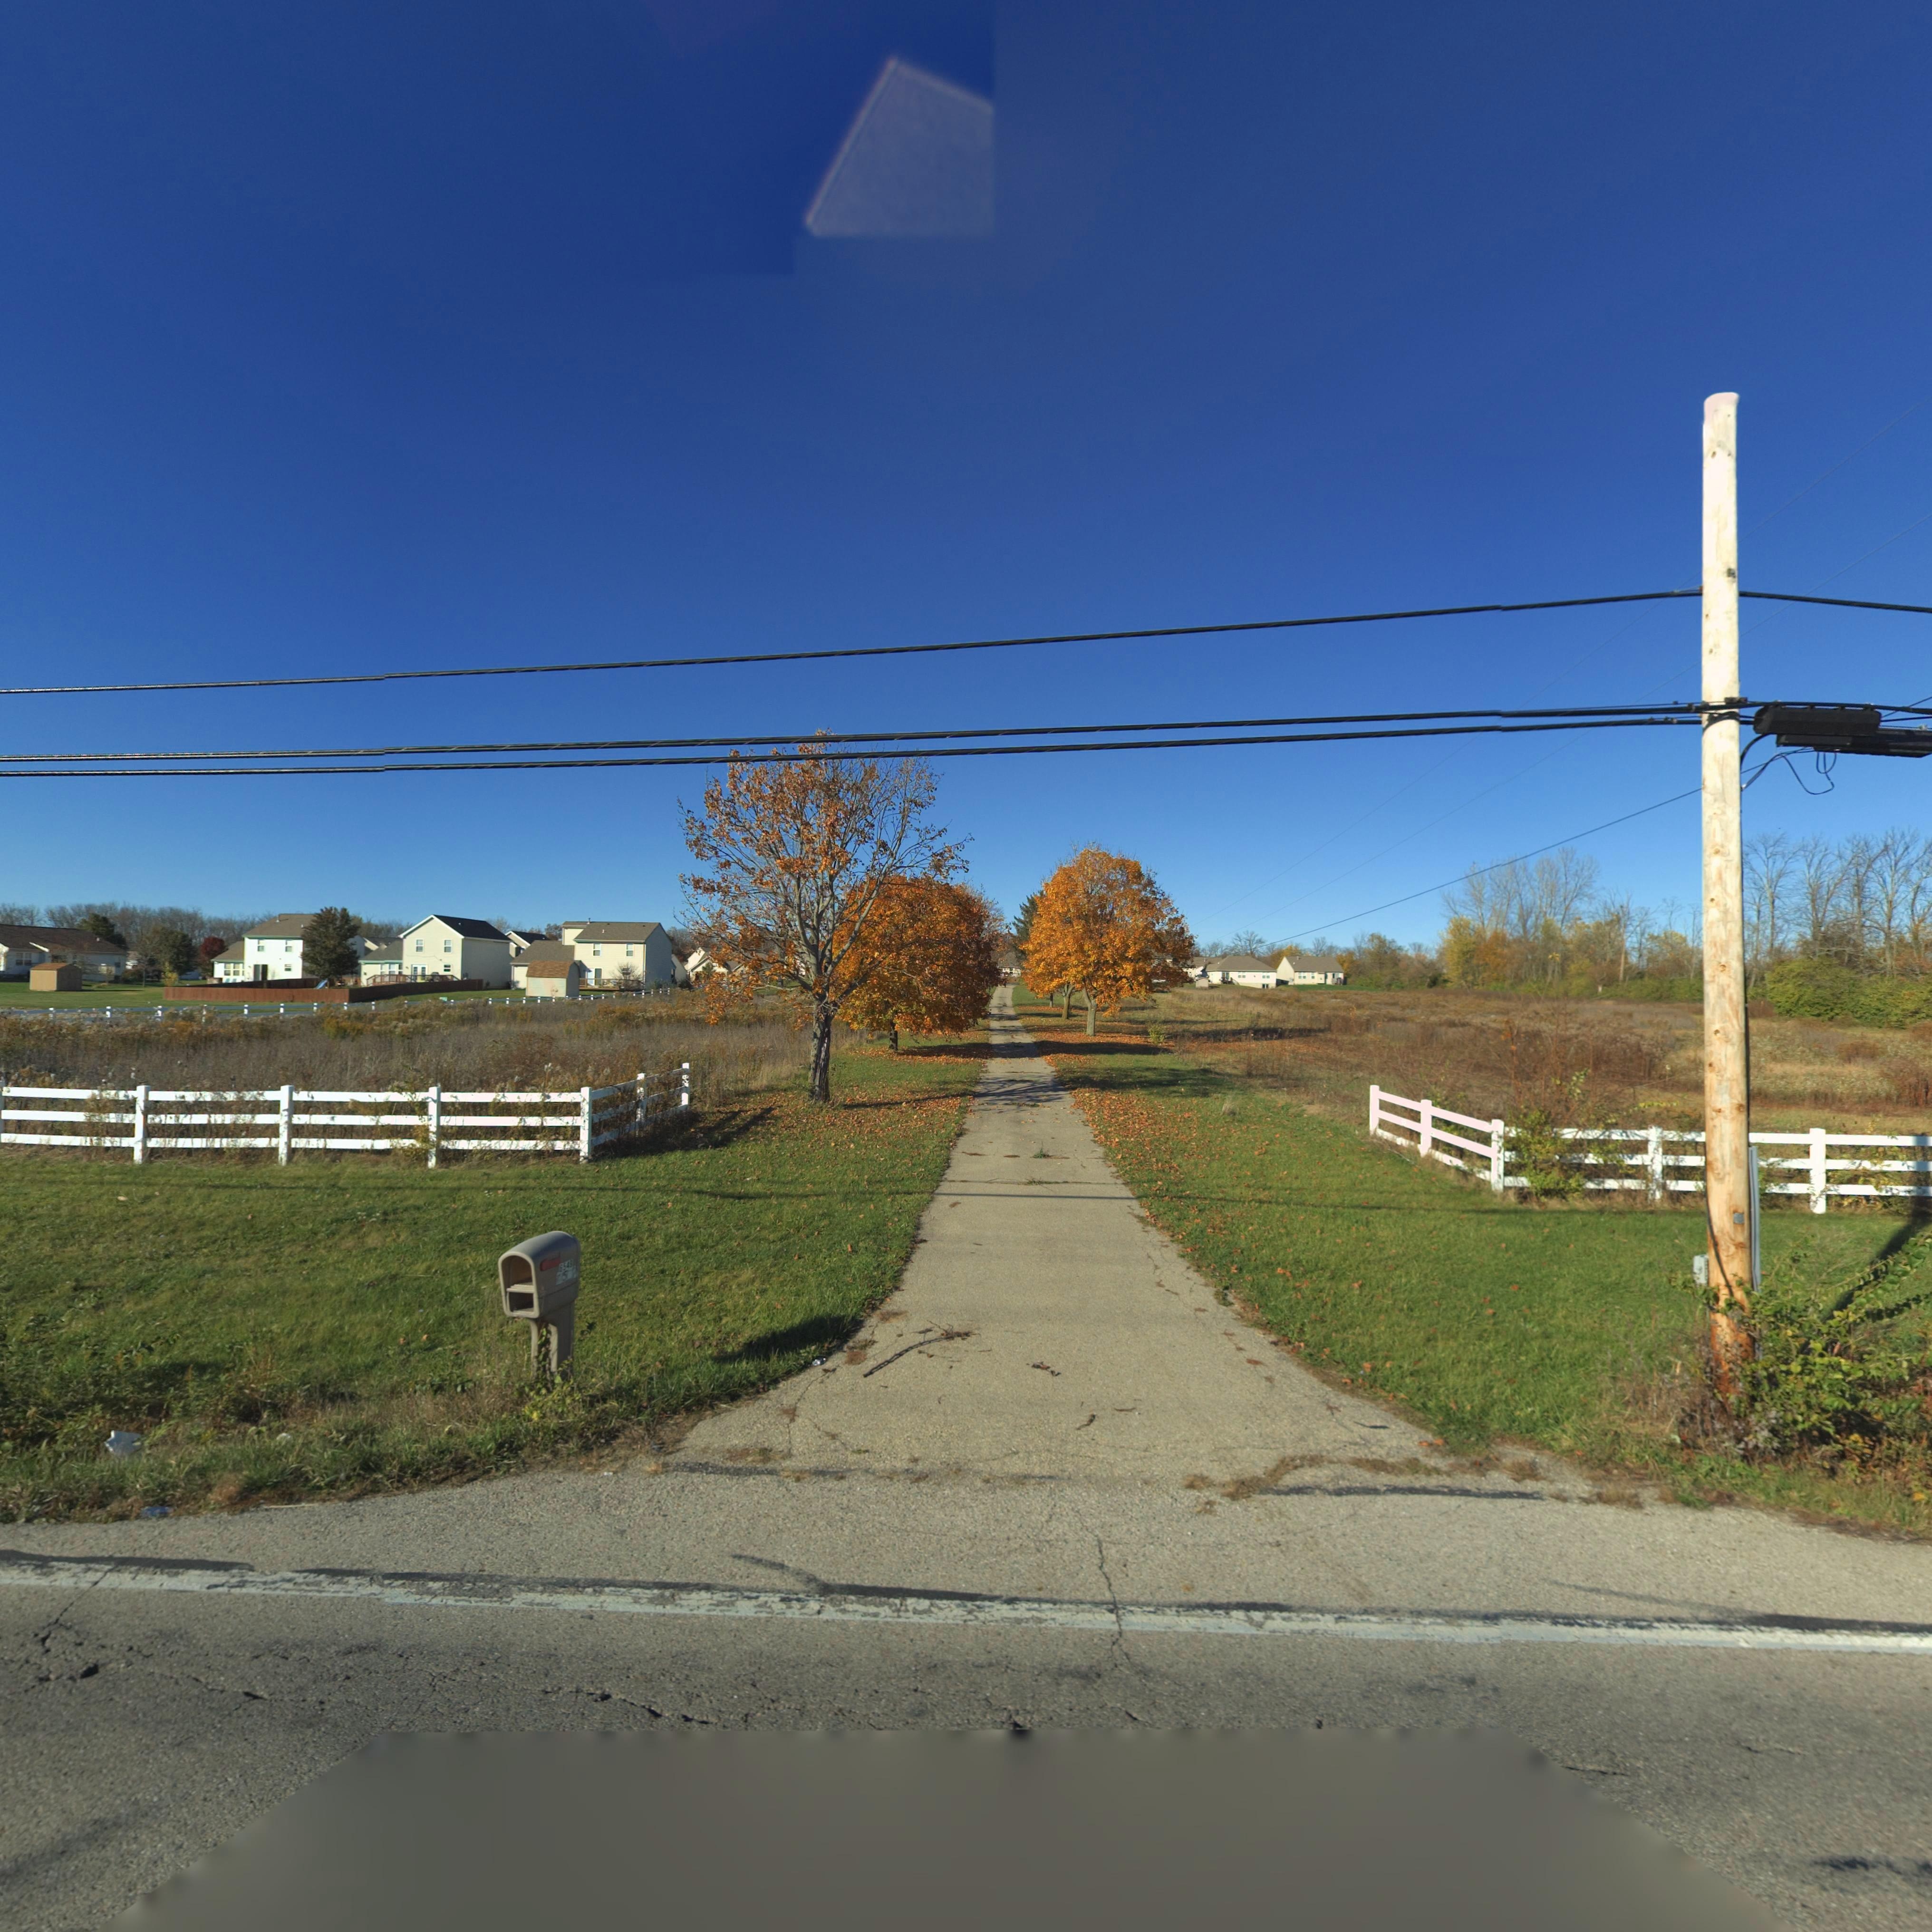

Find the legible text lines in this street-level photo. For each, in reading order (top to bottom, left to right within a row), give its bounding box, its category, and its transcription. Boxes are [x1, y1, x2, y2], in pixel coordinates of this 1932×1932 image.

[558, 1259, 574, 1275] StreetNumber: *54*
[556, 1266, 579, 1287] StreetNumber: *5**